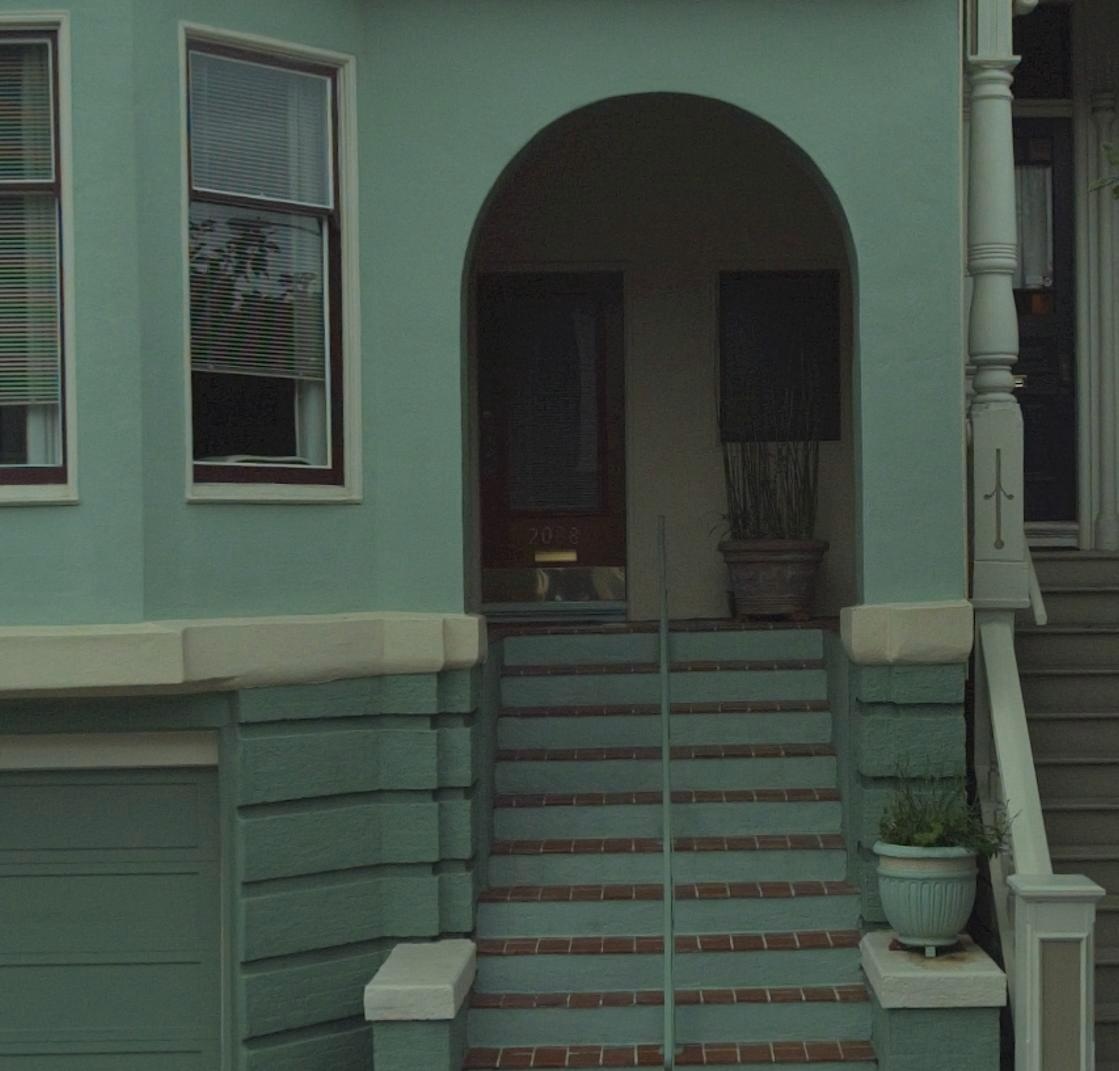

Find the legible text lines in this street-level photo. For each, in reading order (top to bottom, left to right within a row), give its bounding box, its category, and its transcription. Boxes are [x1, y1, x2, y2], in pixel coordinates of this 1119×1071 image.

[525, 525, 583, 548] StreetNumber: 2088